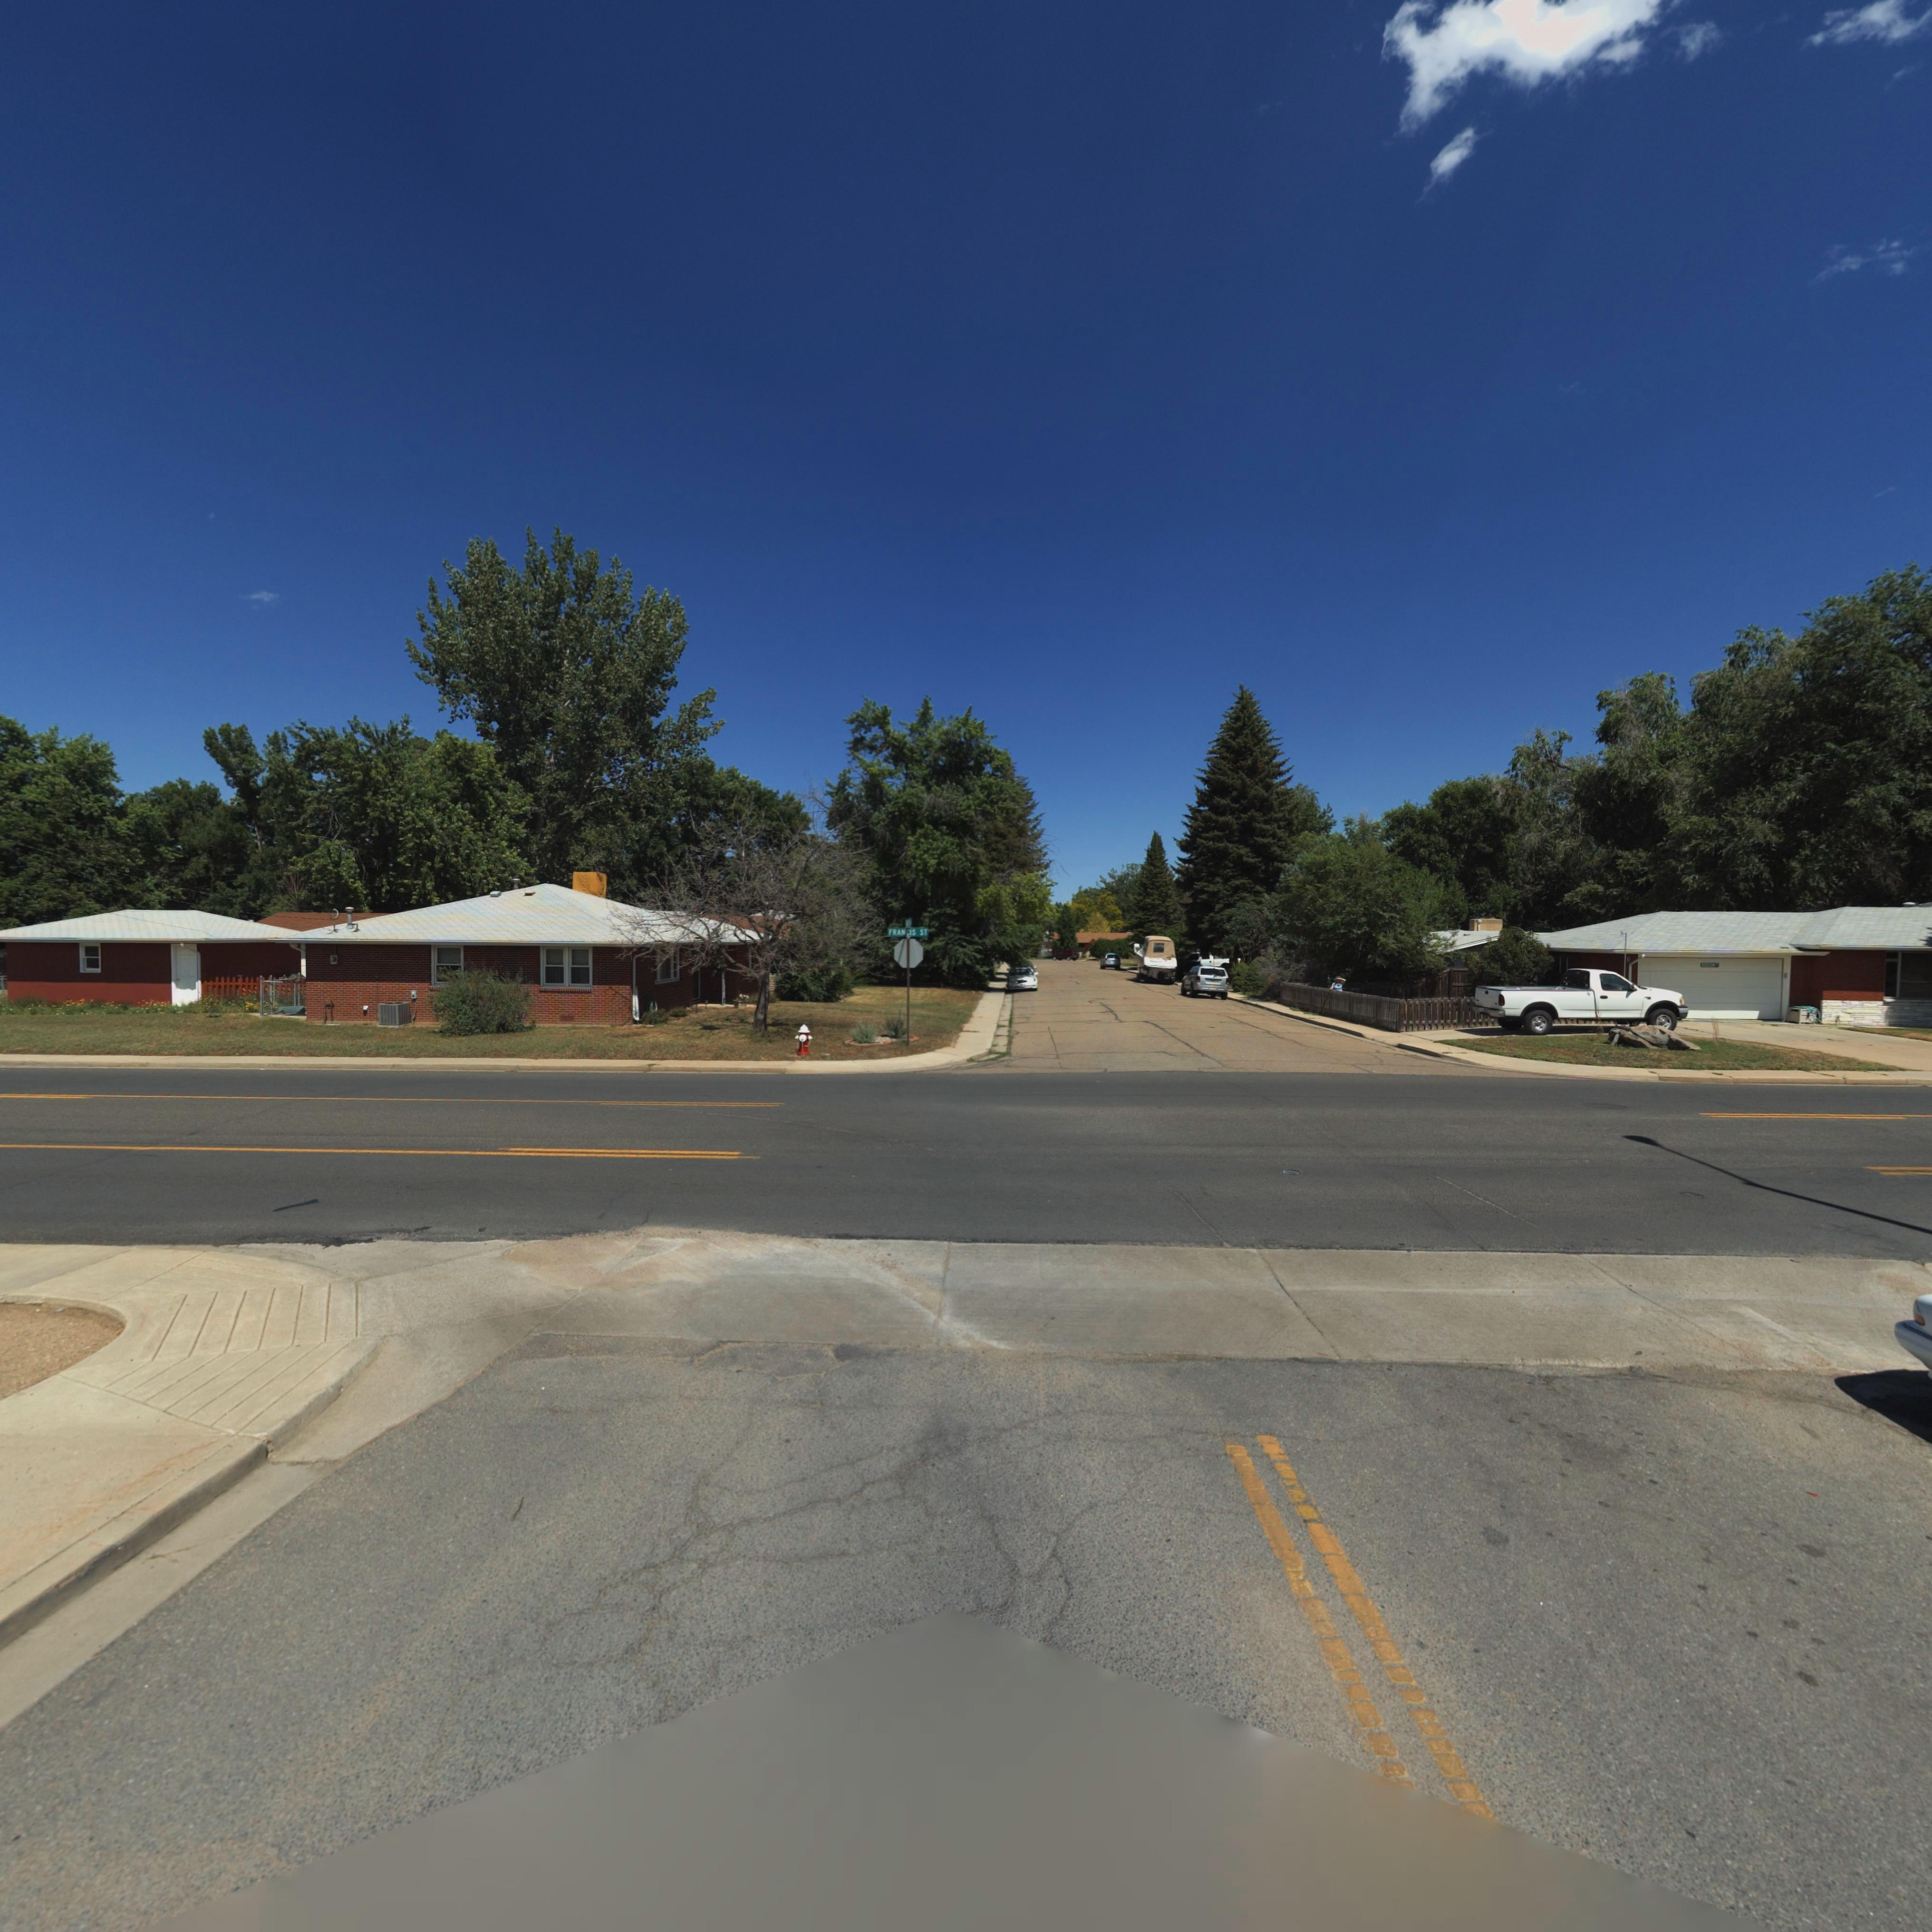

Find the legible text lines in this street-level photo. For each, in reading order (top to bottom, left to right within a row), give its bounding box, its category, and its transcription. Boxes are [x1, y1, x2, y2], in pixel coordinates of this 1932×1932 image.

[889, 928, 927, 936] StreetName: FRANCIS ST